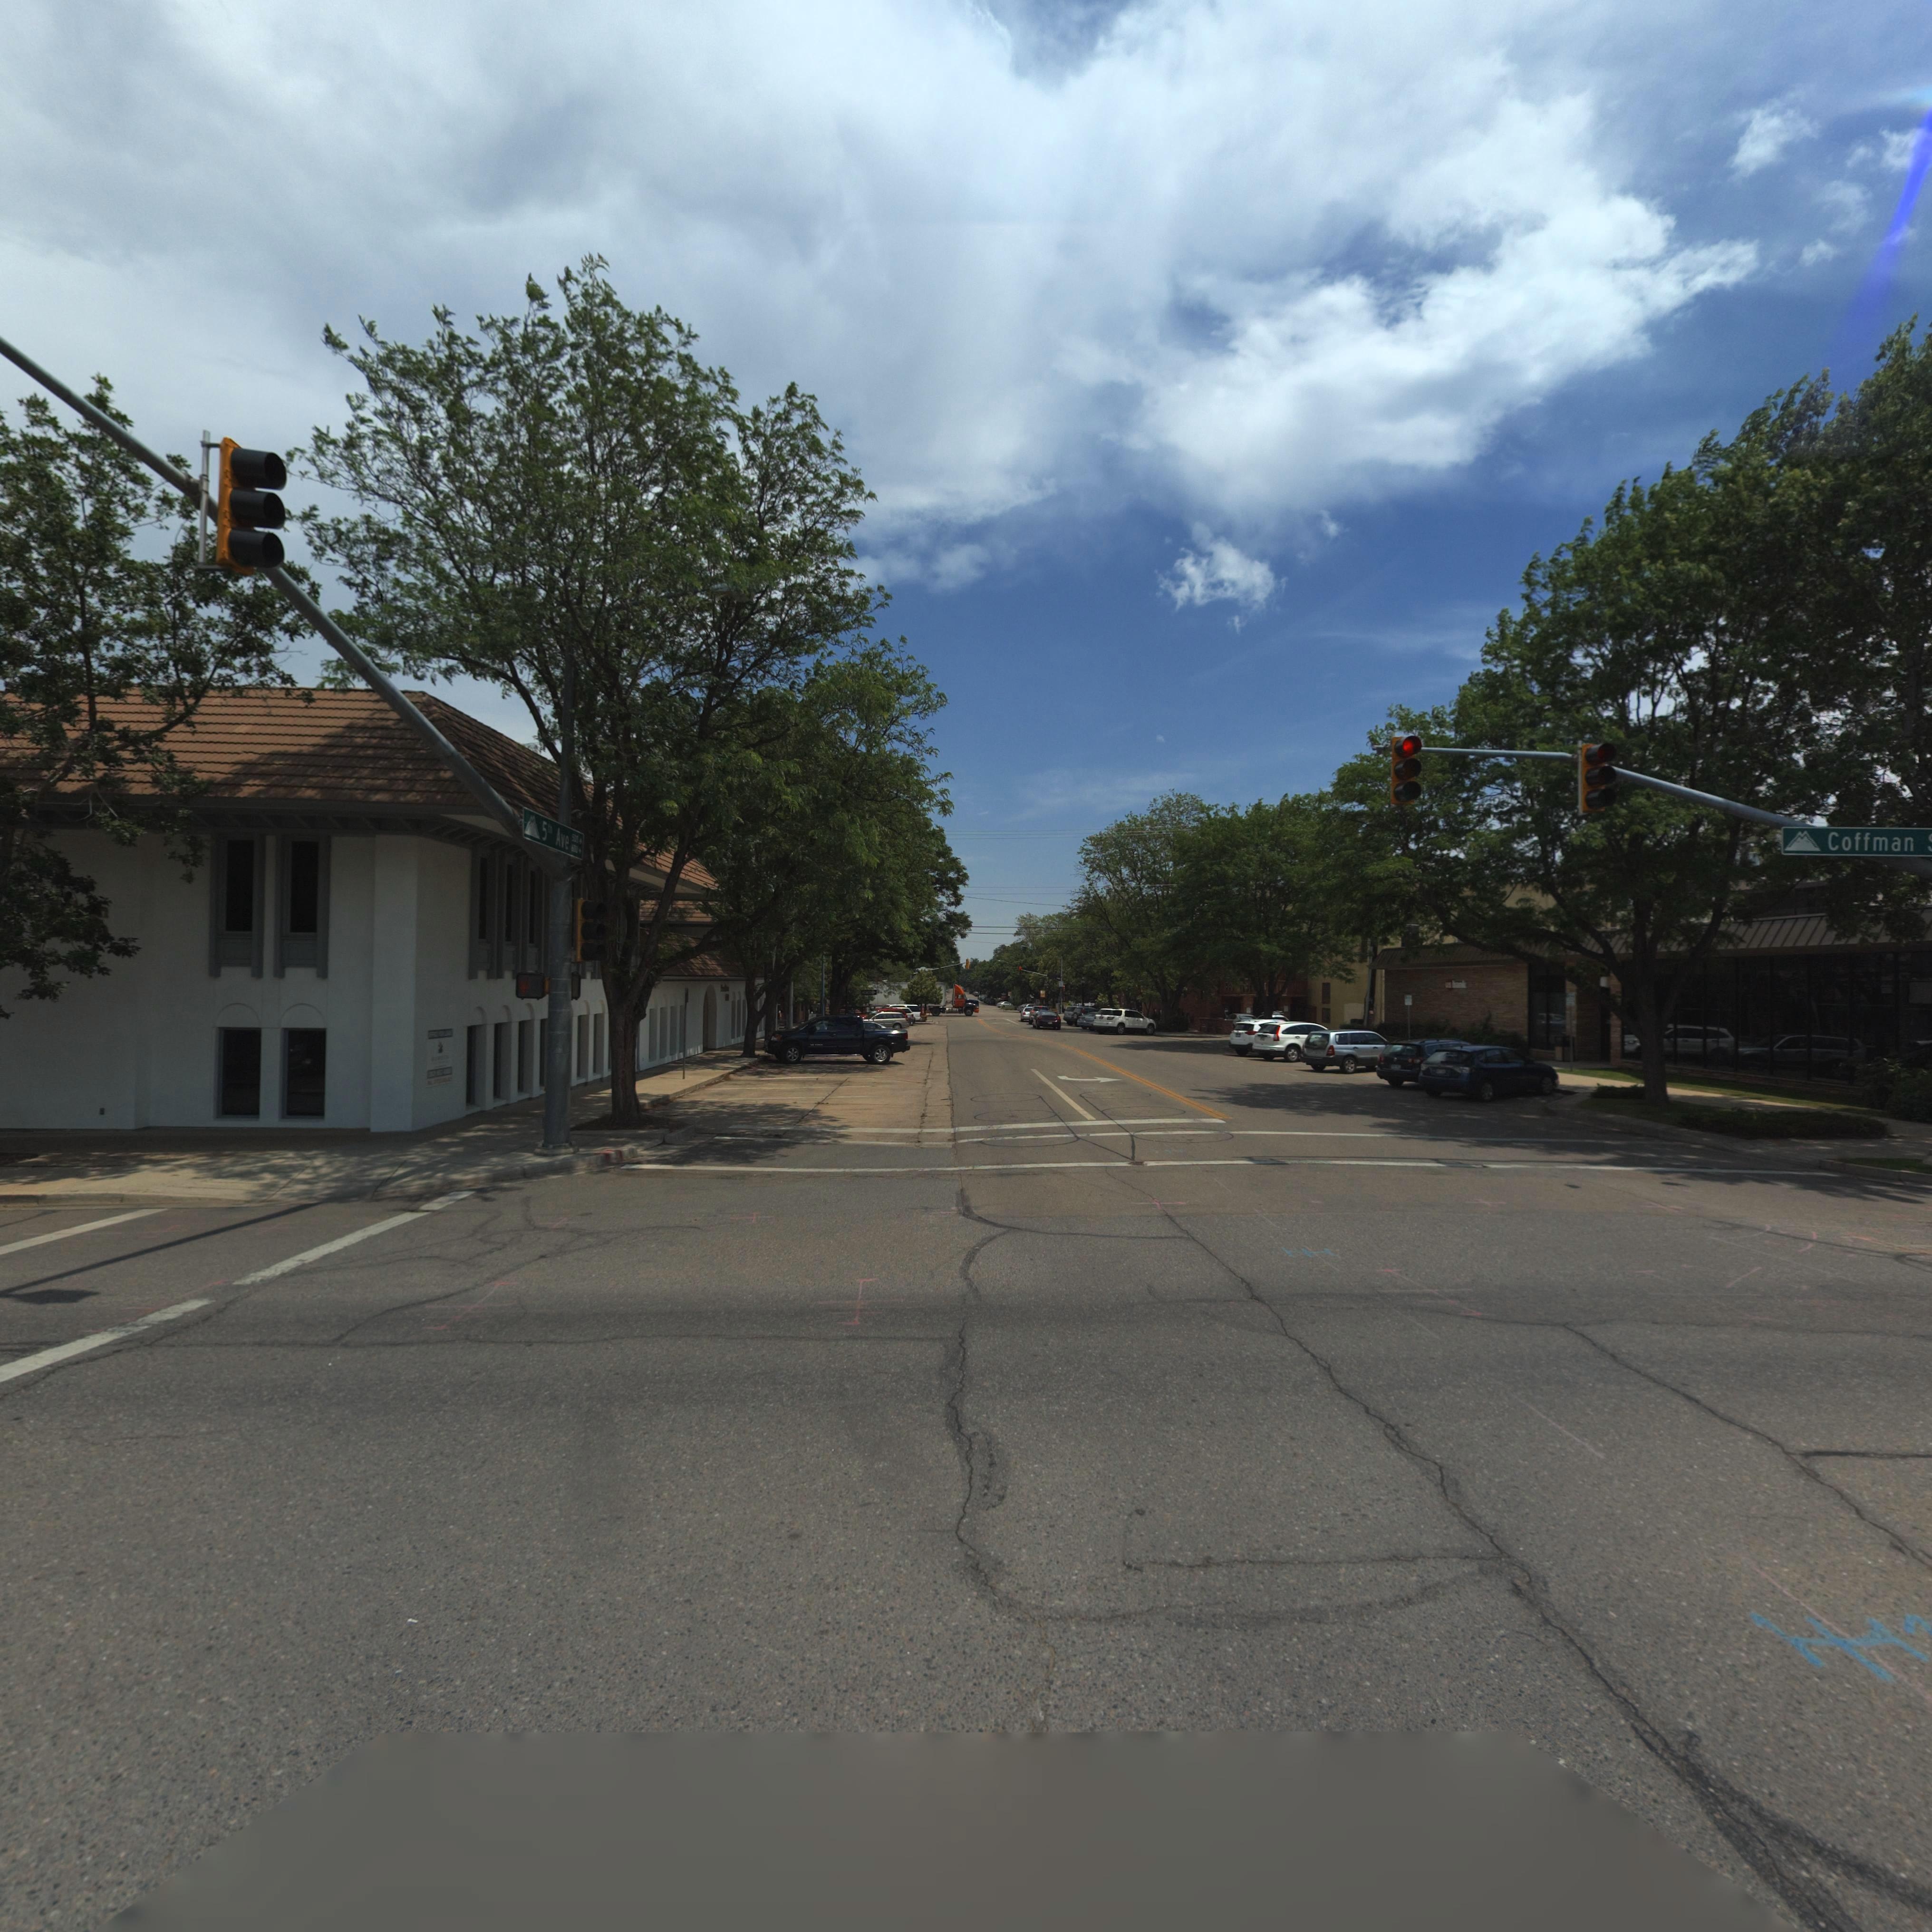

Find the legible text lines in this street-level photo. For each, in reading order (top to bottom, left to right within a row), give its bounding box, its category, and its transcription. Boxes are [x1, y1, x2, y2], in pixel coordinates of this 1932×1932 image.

[540, 820, 570, 850] StreetName: 5th Ave
[571, 833, 579, 843] StreetNumberRange: 5**
[1827, 831, 1914, 852] StreetName: Coffman **
[1445, 980, 1466, 988] BusinessName: usbank